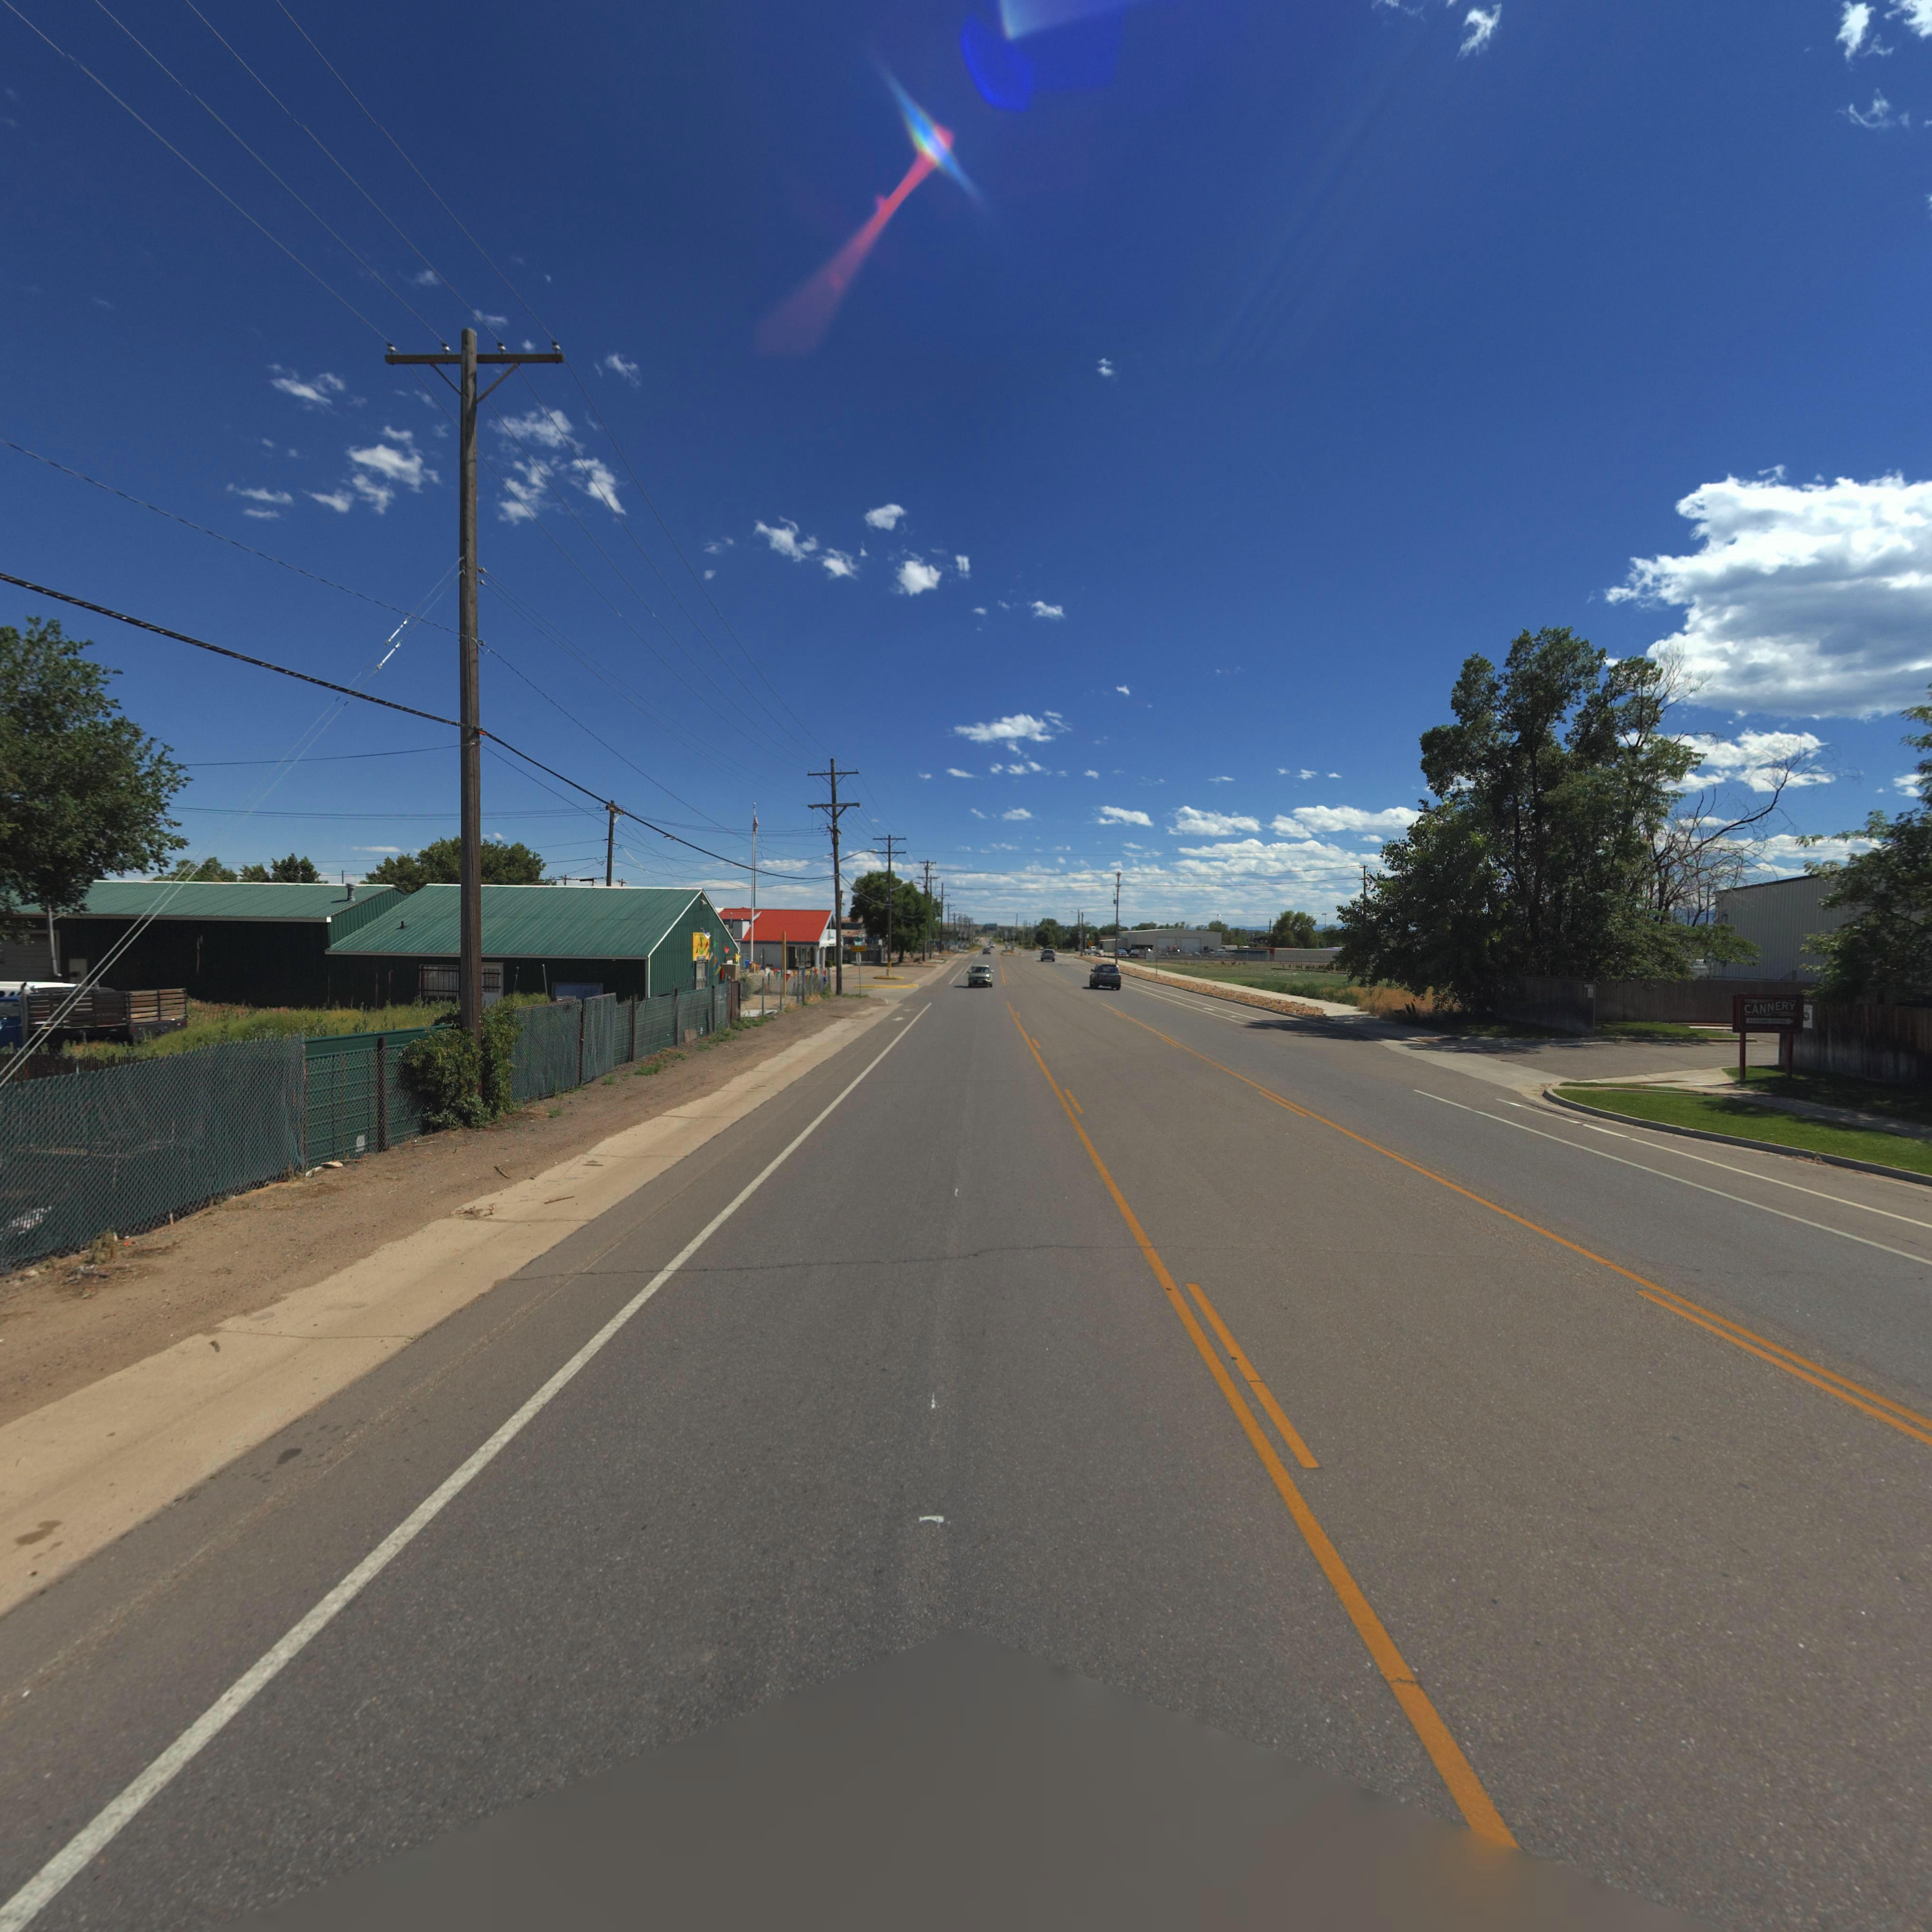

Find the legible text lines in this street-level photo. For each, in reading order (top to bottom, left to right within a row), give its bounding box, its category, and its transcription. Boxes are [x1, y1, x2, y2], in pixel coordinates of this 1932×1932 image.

[853, 937, 862, 940] StreetName: 2** AV